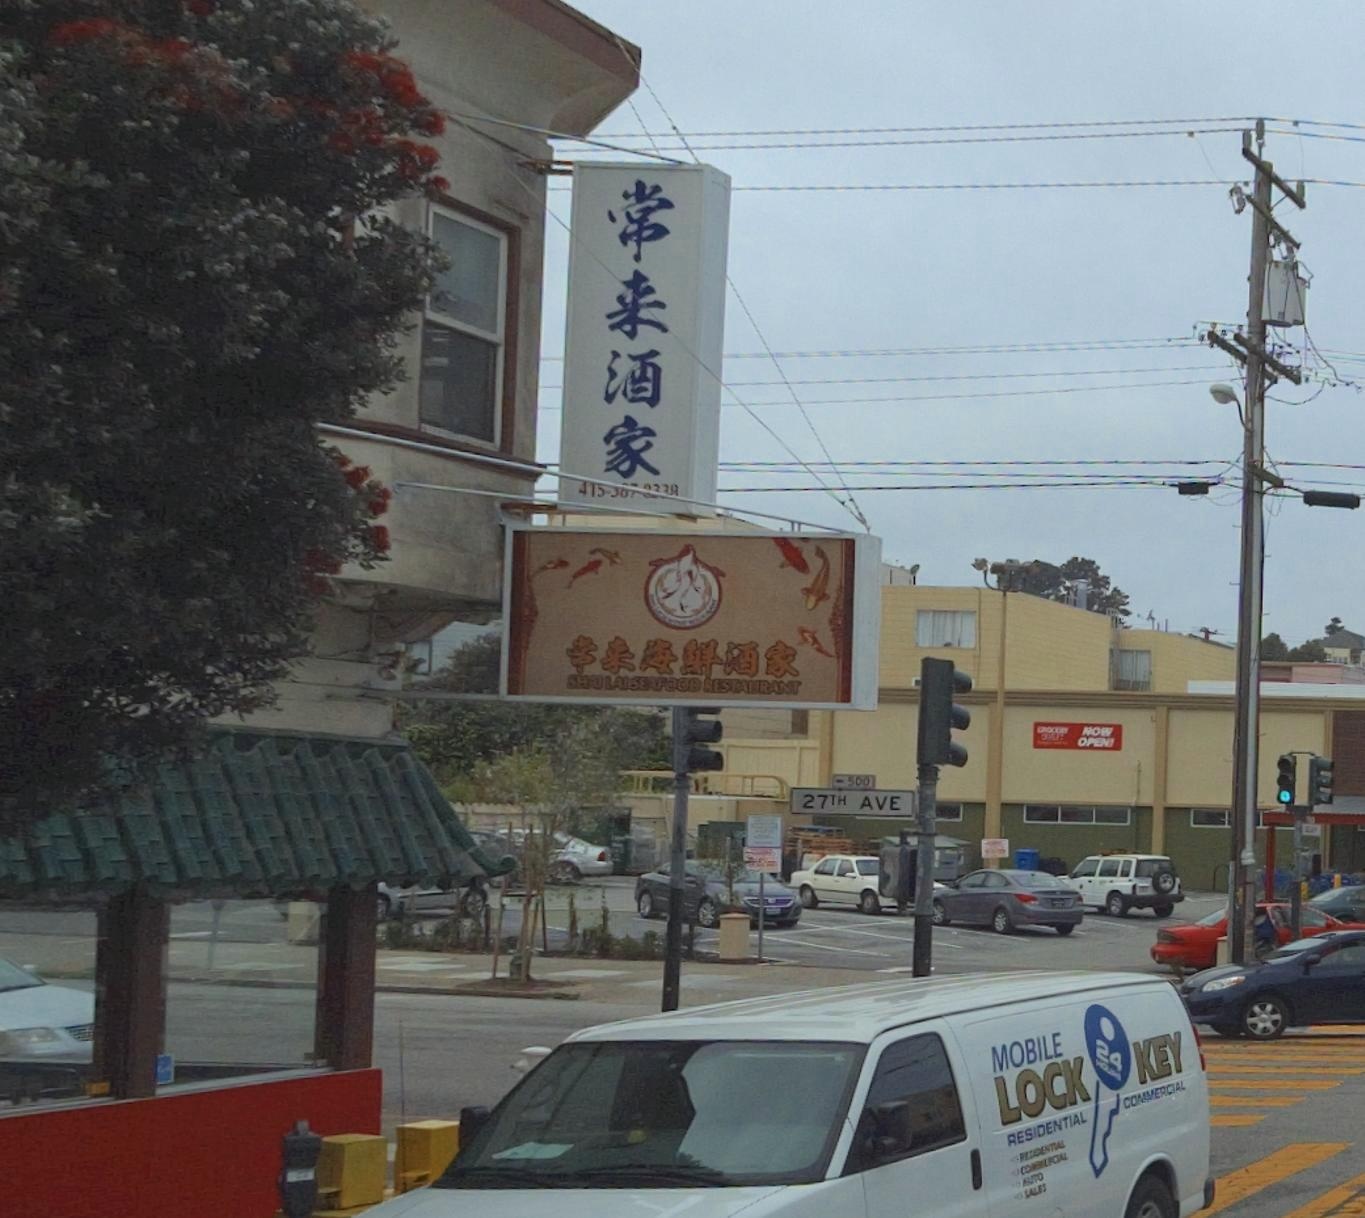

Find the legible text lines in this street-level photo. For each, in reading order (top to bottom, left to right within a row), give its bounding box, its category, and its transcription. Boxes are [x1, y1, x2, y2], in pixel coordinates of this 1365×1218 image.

[575, 476, 598, 502] None: 41
[563, 672, 803, 697] BusinessName: SH* LA* SEAFOOD RESTAURANT
[1074, 734, 1118, 751] None: OPEN
[1078, 725, 1119, 740] None: NOW
[828, 774, 871, 789] StreetNumberRange: <-500
[798, 792, 904, 815] StreetName: 27TH AVE
[985, 1028, 1067, 1079] None: MOBILE
[1091, 1035, 1125, 1075] None: 24
[991, 1027, 1185, 1129] None: LOCK * KEY
[1092, 1056, 1127, 1087] None: HOURS
[1002, 1076, 1189, 1151] None: RESIDENTAIL COMMERCIAL